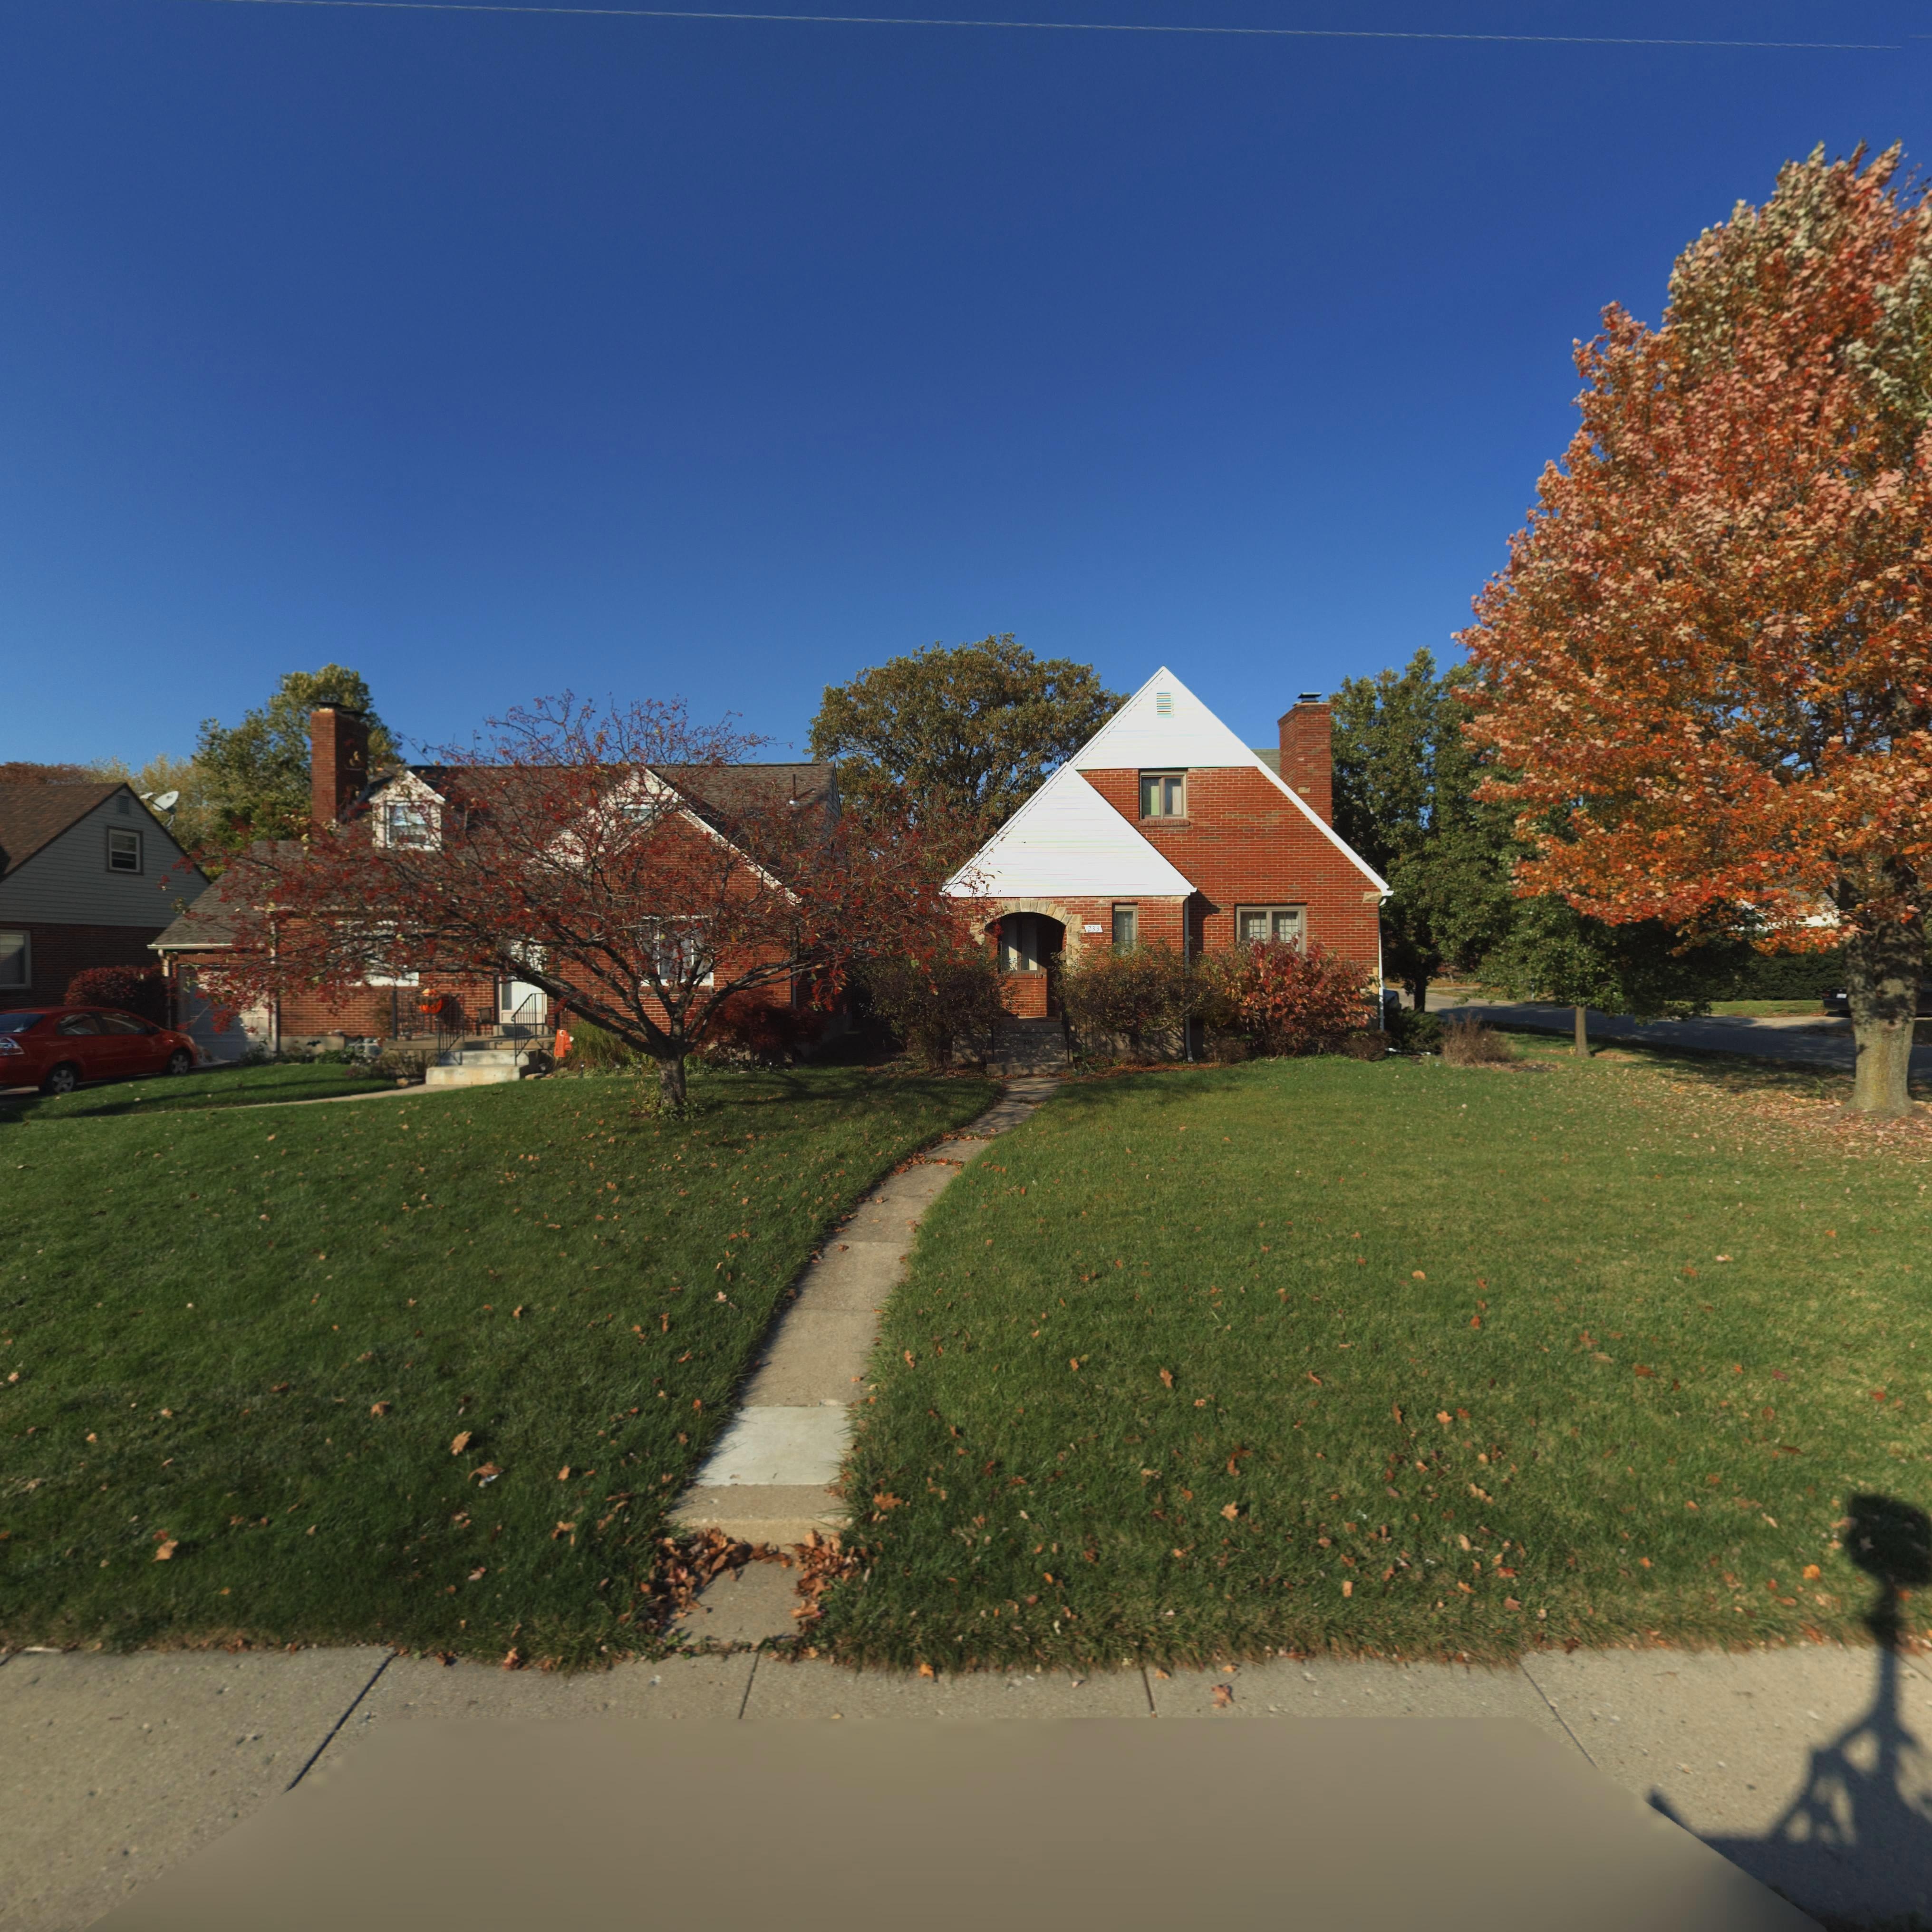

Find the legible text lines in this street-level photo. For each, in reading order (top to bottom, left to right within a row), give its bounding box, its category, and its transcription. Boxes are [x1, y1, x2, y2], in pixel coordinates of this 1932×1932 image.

[1086, 924, 1101, 933] StreetNumber: 233